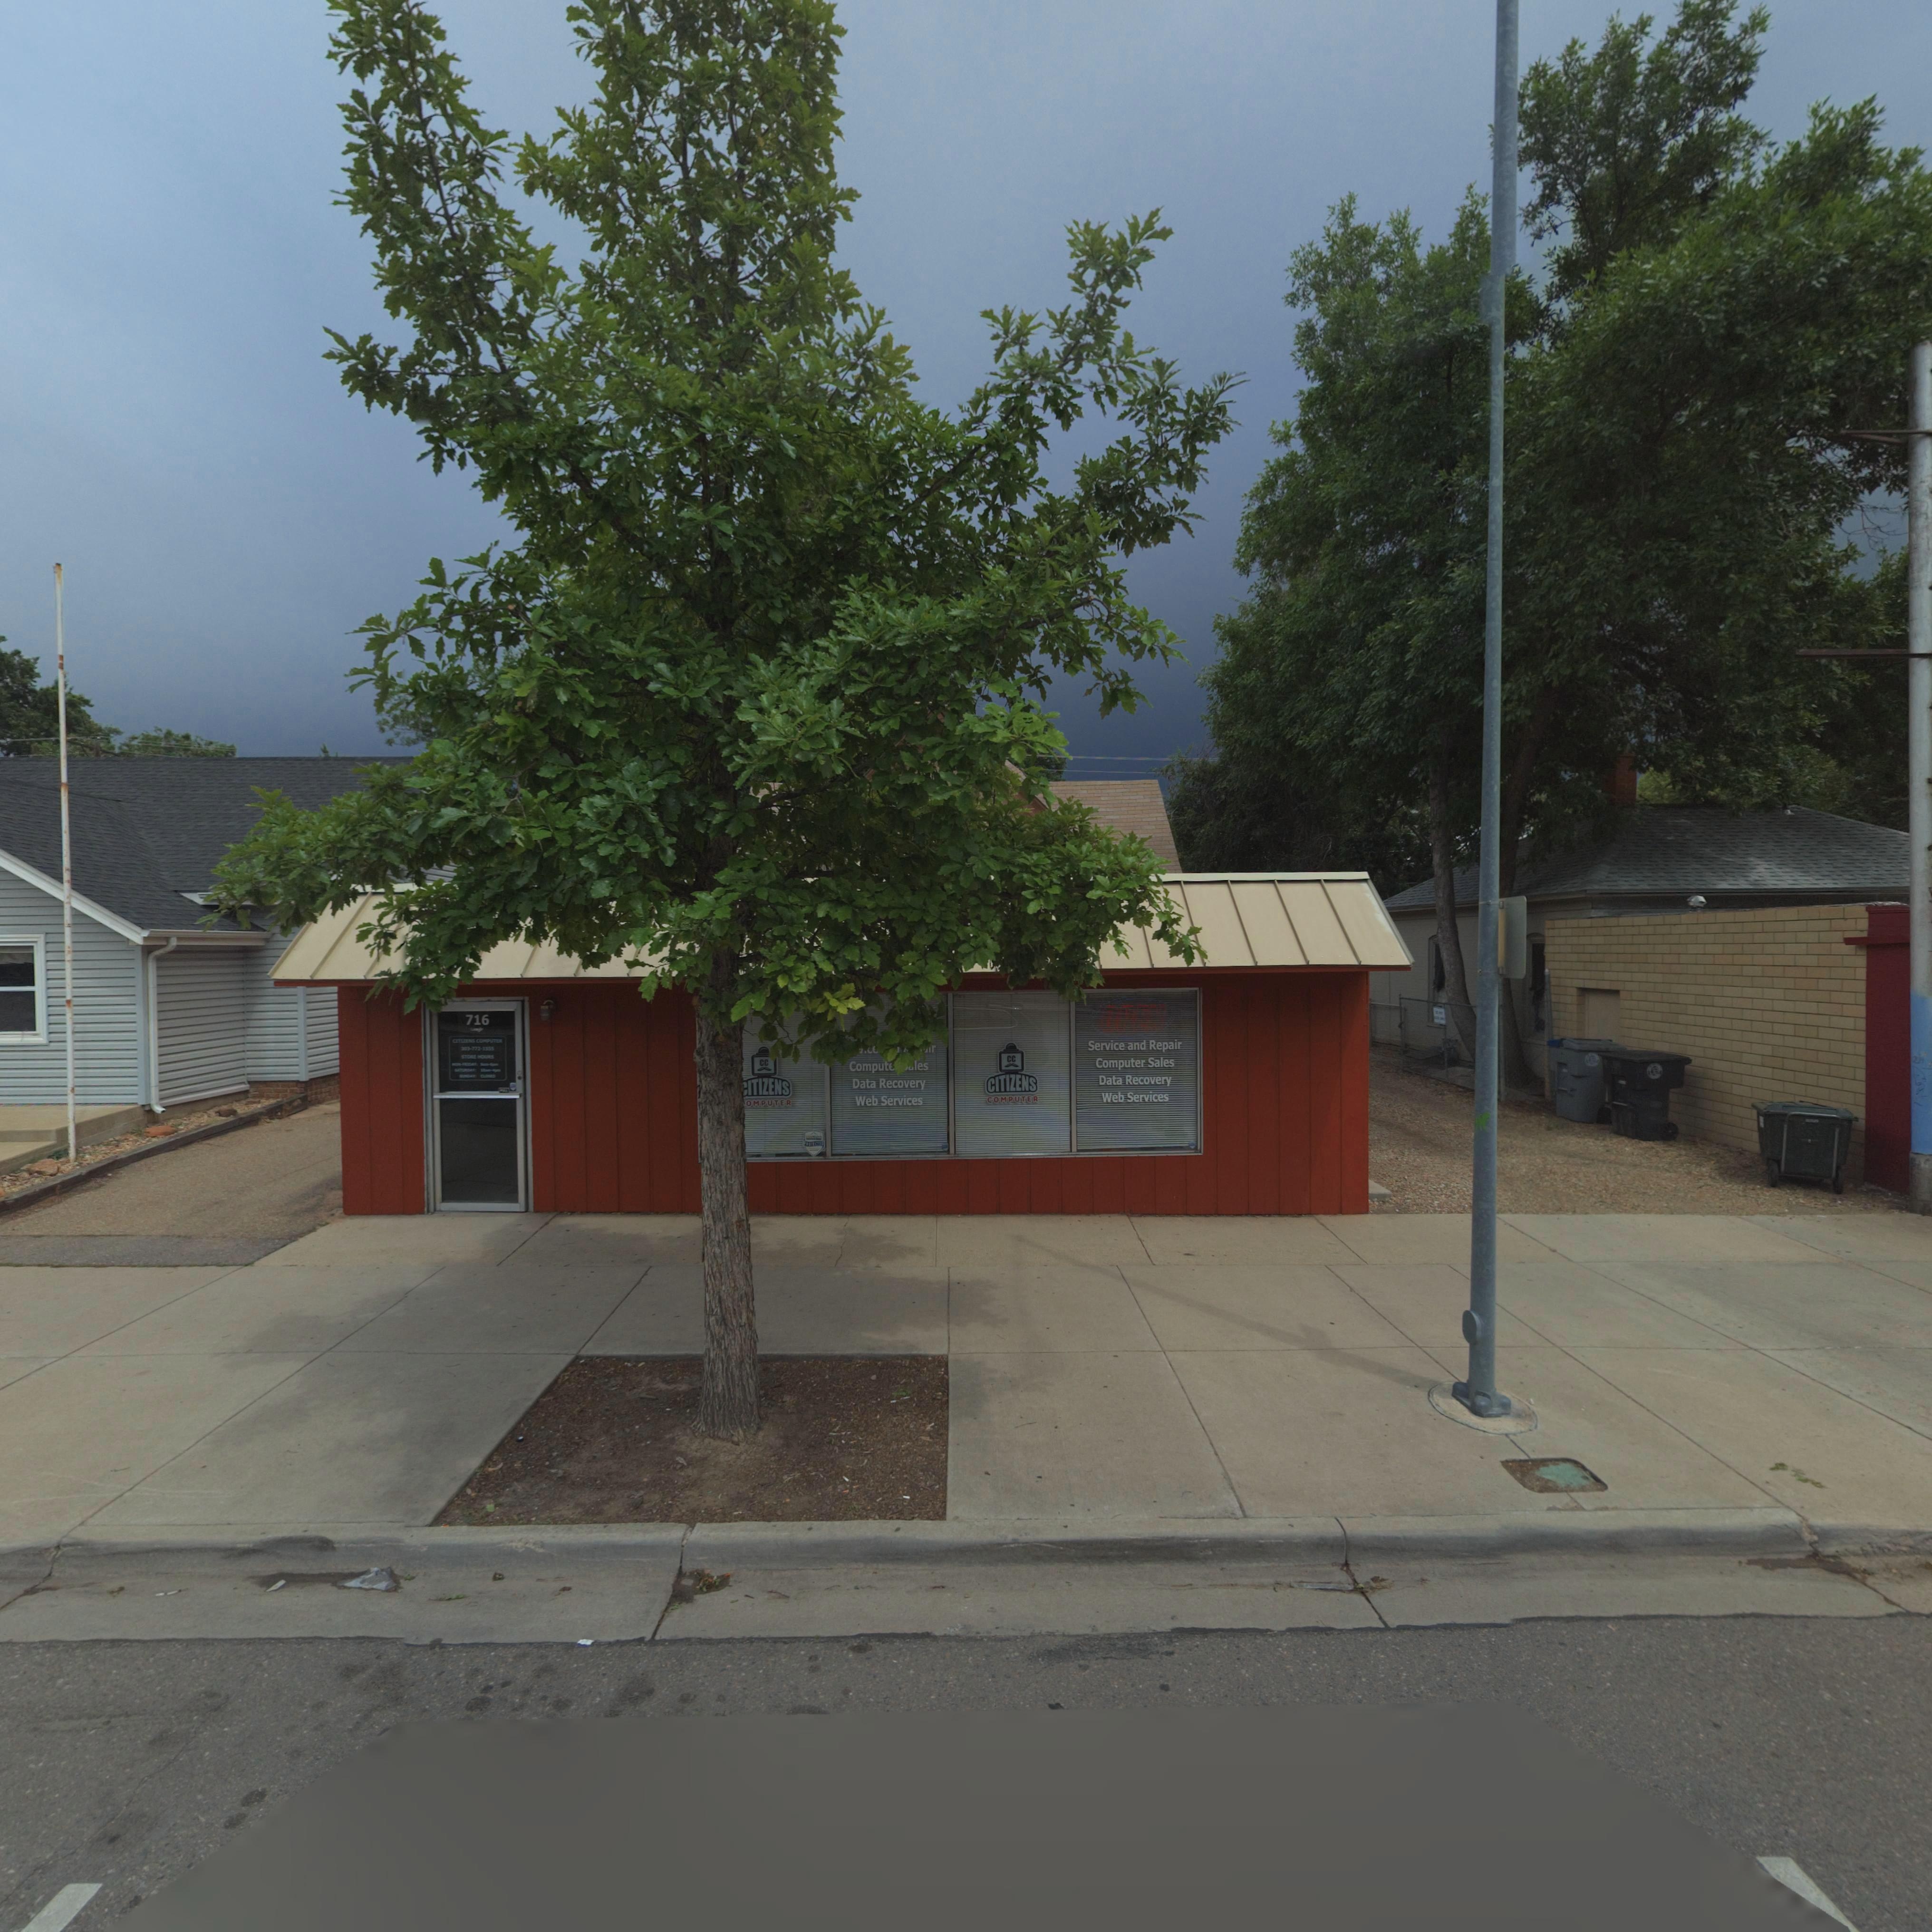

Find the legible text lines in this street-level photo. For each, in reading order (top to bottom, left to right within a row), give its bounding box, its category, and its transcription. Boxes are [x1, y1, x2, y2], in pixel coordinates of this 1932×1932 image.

[465, 1014, 490, 1025] StreetNumber: 716
[451, 1038, 502, 1043] BusinessName: CITIZEN COMPUTER
[737, 1078, 790, 1097] BusinessName: *ITIZENS
[985, 1072, 1038, 1093] BusinessName: CITIZENS
[745, 1099, 791, 1107] BusinessName: OMPUTER
[986, 1095, 1038, 1103] BusinessName: COMPUTER